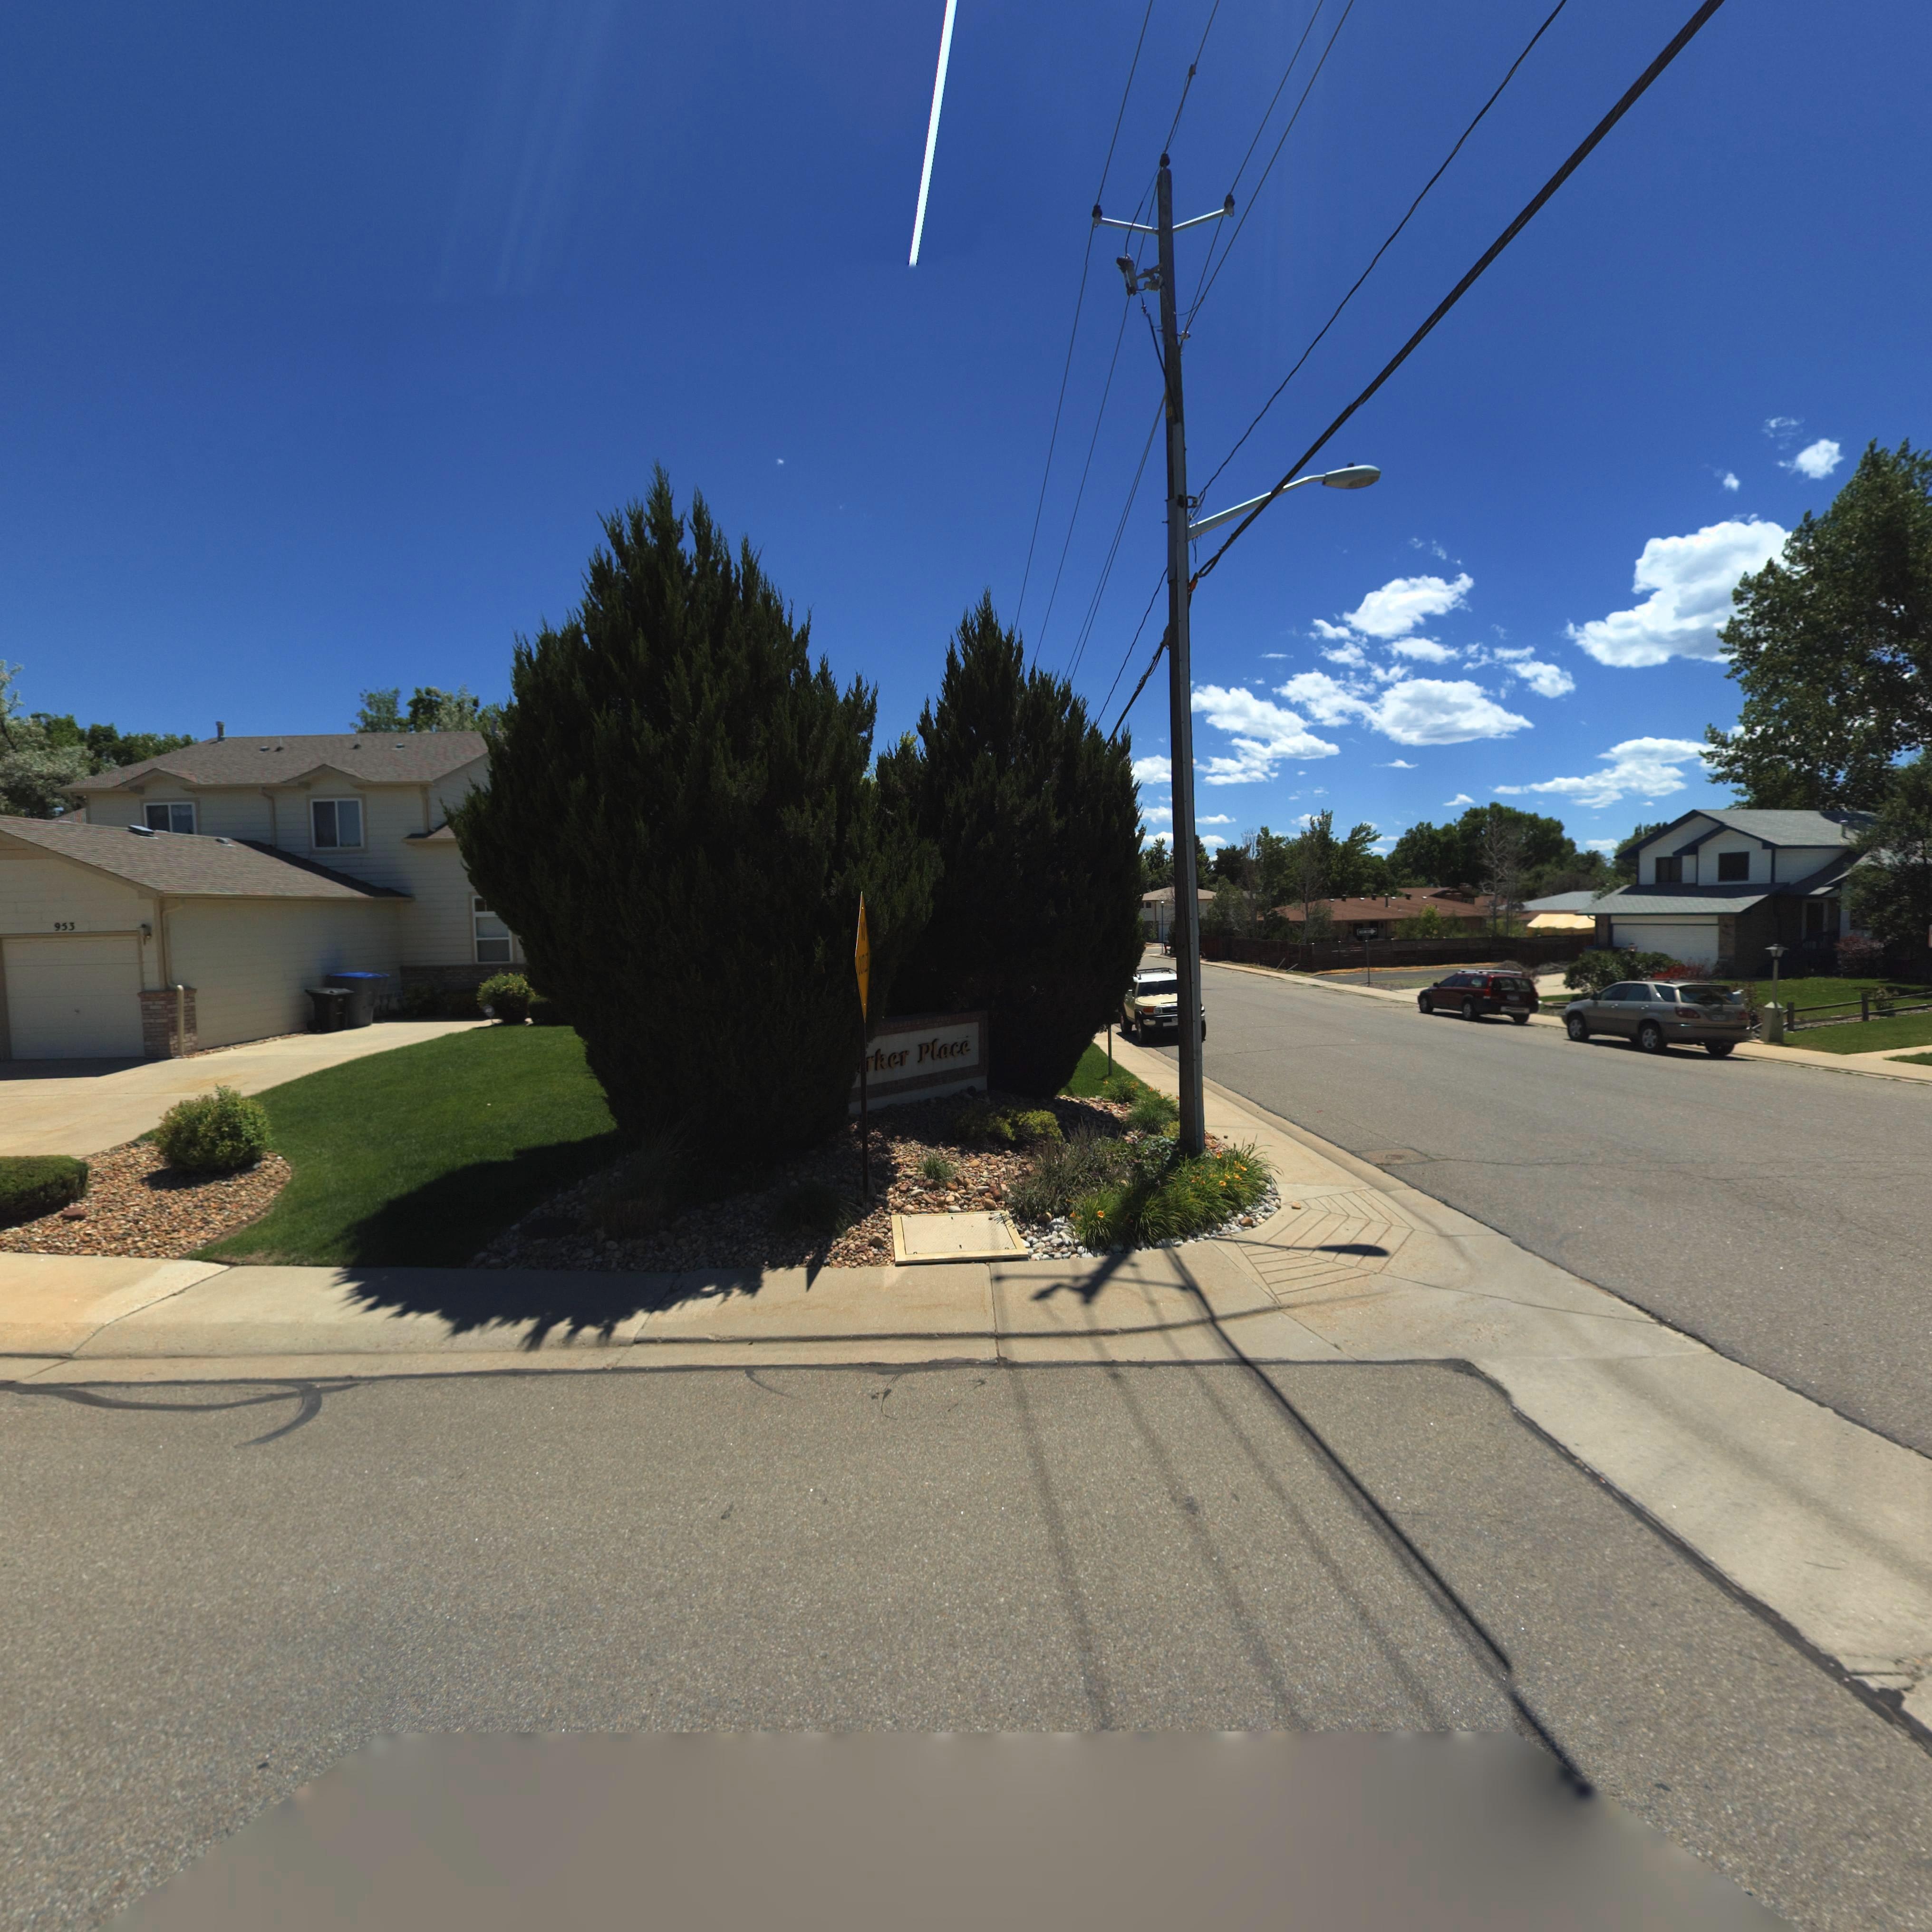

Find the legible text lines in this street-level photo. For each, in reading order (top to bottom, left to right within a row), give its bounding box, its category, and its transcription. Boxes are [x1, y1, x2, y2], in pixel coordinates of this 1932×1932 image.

[53, 922, 75, 931] StreetNumber: 953